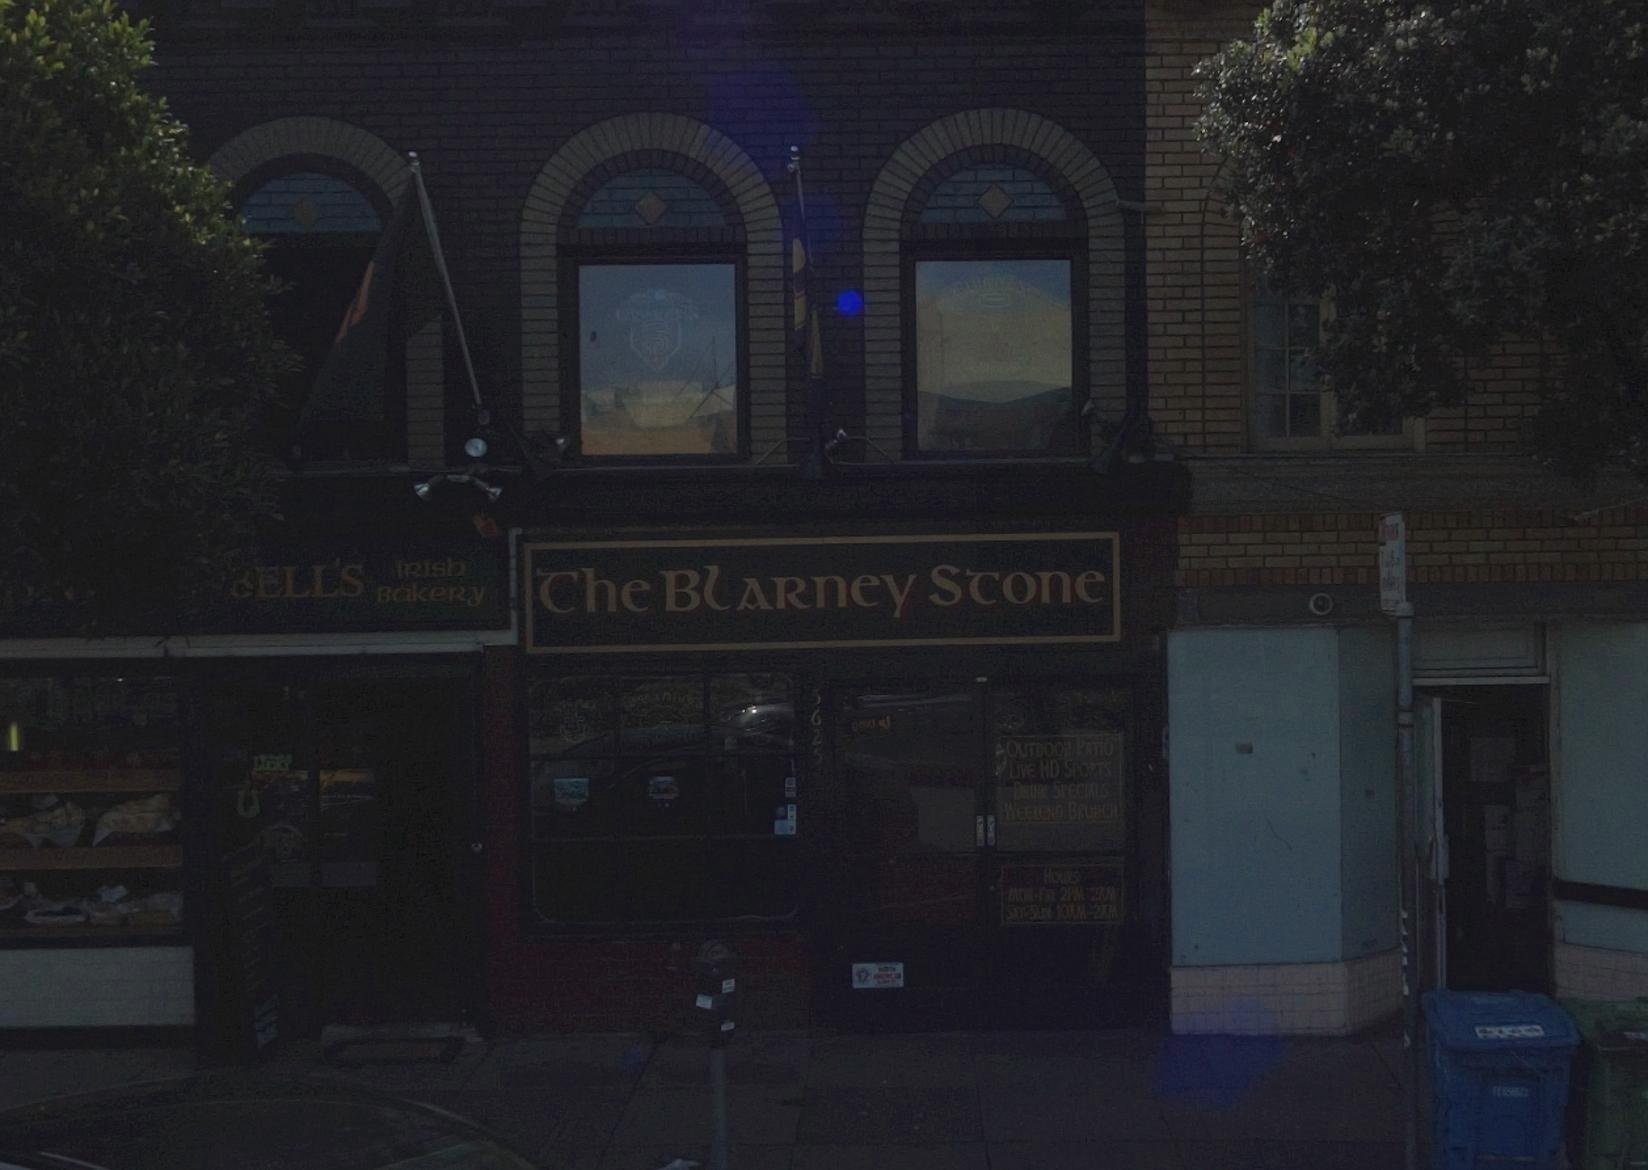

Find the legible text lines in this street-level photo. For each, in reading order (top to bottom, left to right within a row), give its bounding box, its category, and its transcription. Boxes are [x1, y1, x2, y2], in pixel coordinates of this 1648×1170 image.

[249, 554, 364, 603] BusinessName: ELL'S
[388, 551, 469, 582] None: IRISh
[373, 576, 490, 608] None: BakeRy
[533, 562, 1107, 620] BusinessName: The BlARney STone
[807, 687, 824, 768] StreetNumber: 5625
[1005, 738, 1115, 759] None: OUTDOOR PATIO
[1006, 759, 1126, 779] None: LIVE HD SPORTS
[1012, 779, 1112, 802] None: DRINK SPECIALS
[1003, 801, 1122, 823] None: WEEKEND BRUNCH
[1040, 864, 1084, 886] None: HOURS
[1003, 880, 1119, 902] None: MON-FRI 2PM-2AM
[1002, 899, 1121, 924] None: SAT-SUN 10AM-2AM